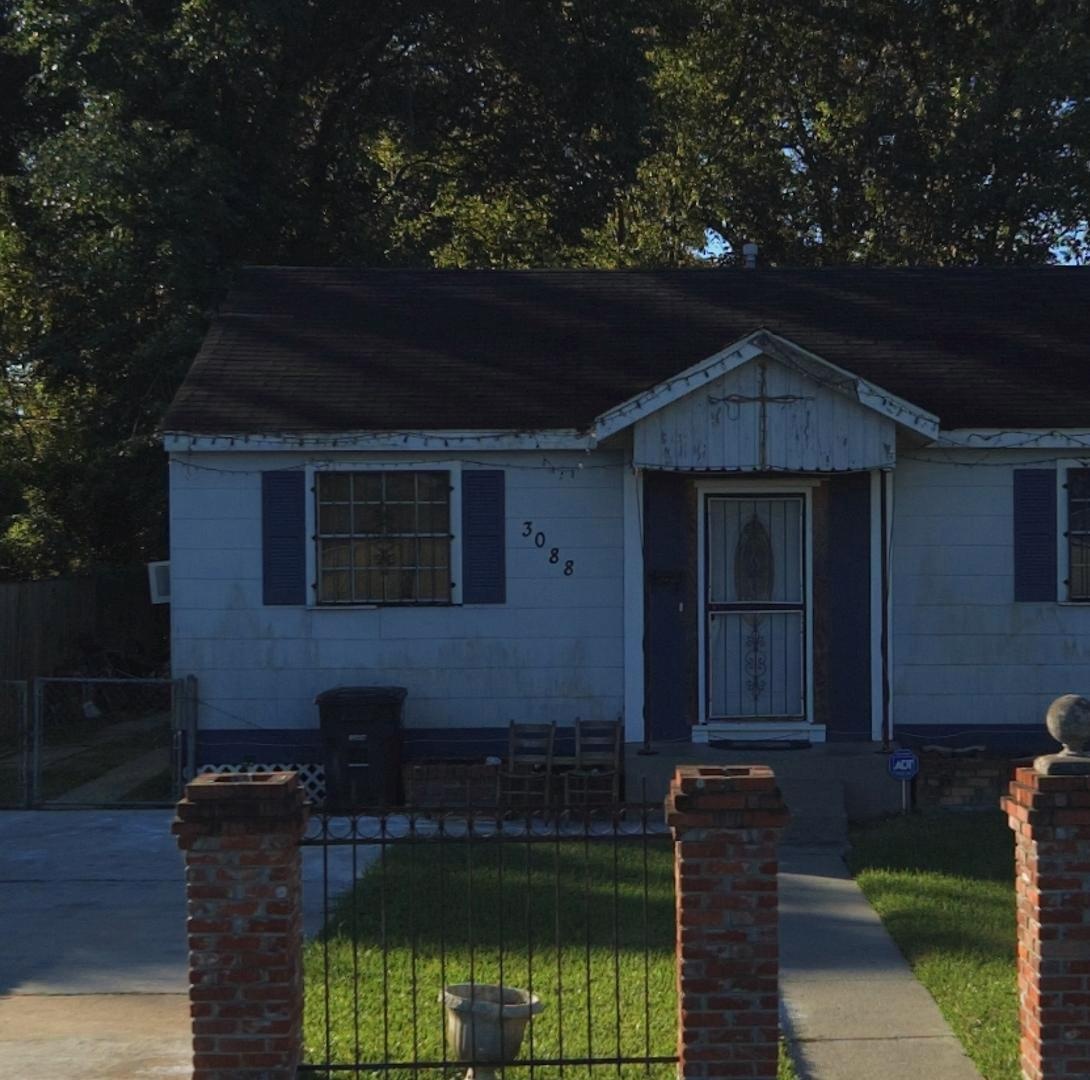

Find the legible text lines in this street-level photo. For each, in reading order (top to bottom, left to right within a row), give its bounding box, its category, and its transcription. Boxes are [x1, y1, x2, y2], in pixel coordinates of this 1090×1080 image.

[521, 519, 579, 582] StreetNumber: 3088
[891, 759, 915, 771] None: ADT